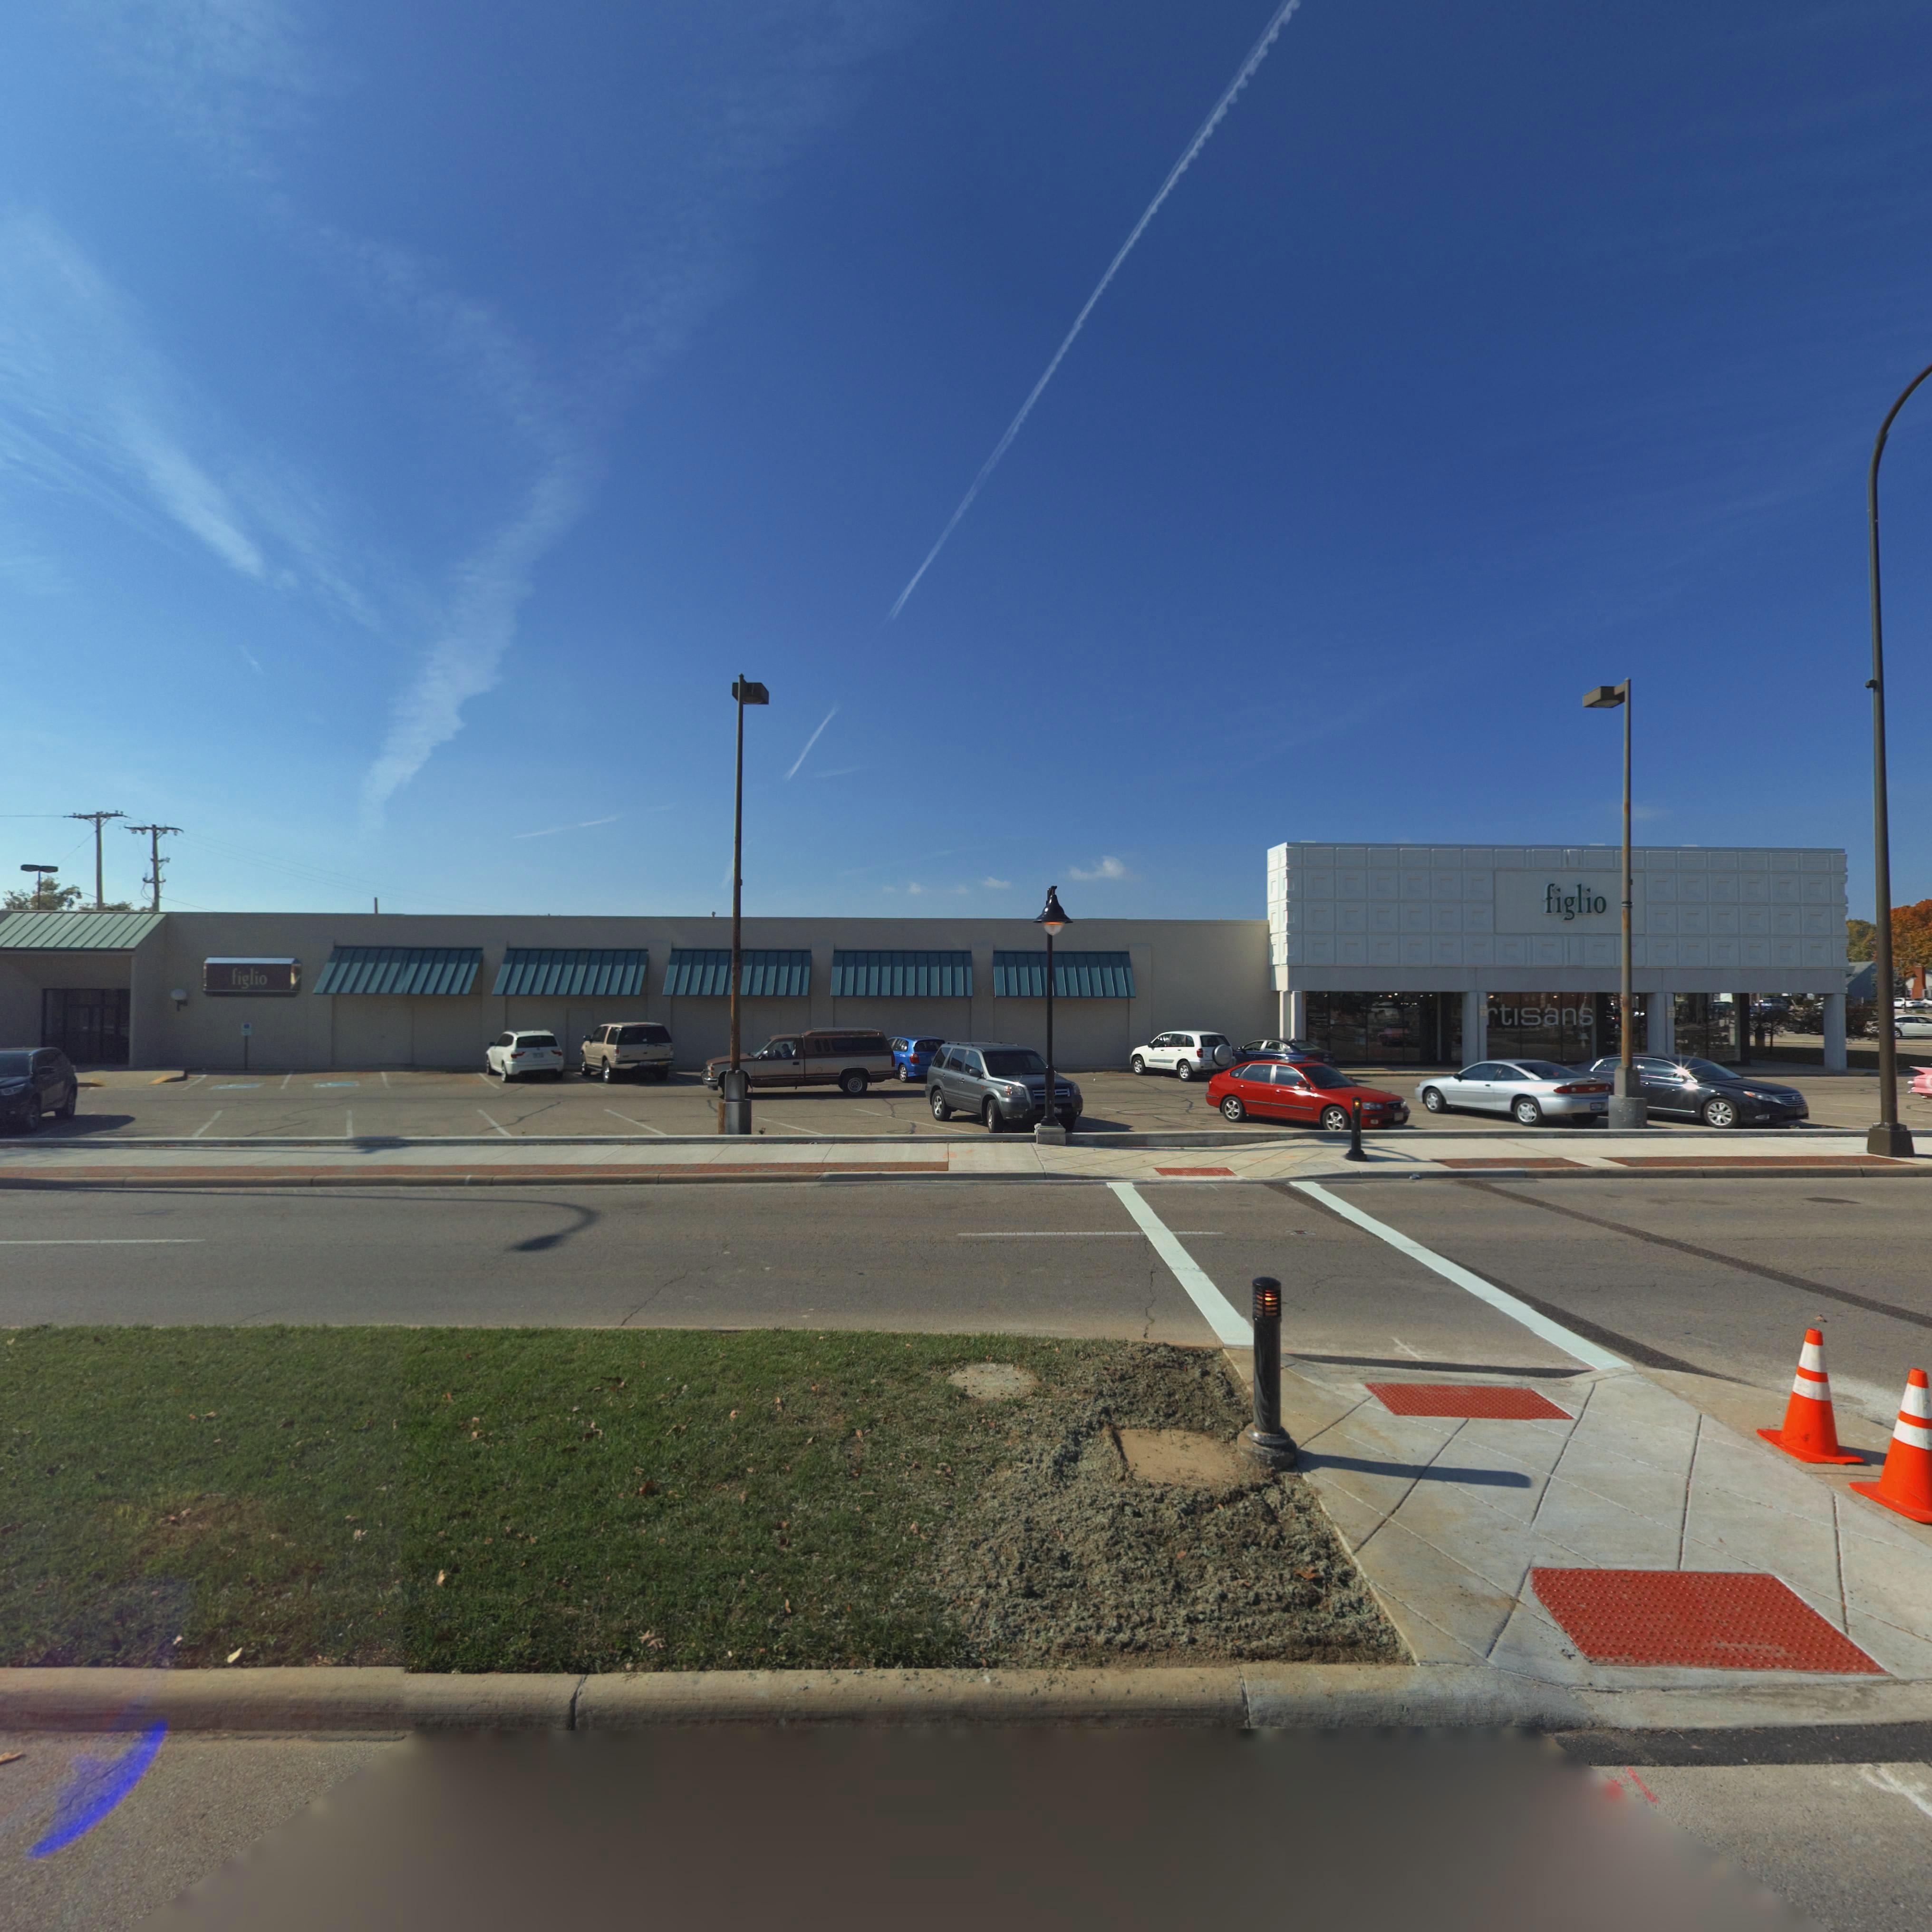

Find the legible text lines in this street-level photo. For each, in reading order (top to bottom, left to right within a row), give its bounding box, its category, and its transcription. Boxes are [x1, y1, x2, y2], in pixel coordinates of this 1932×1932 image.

[1545, 882, 1607, 921] BusinessName: figlio
[231, 967, 268, 989] BusinessName: figlio
[1486, 1003, 1594, 1026] None: rti*ans